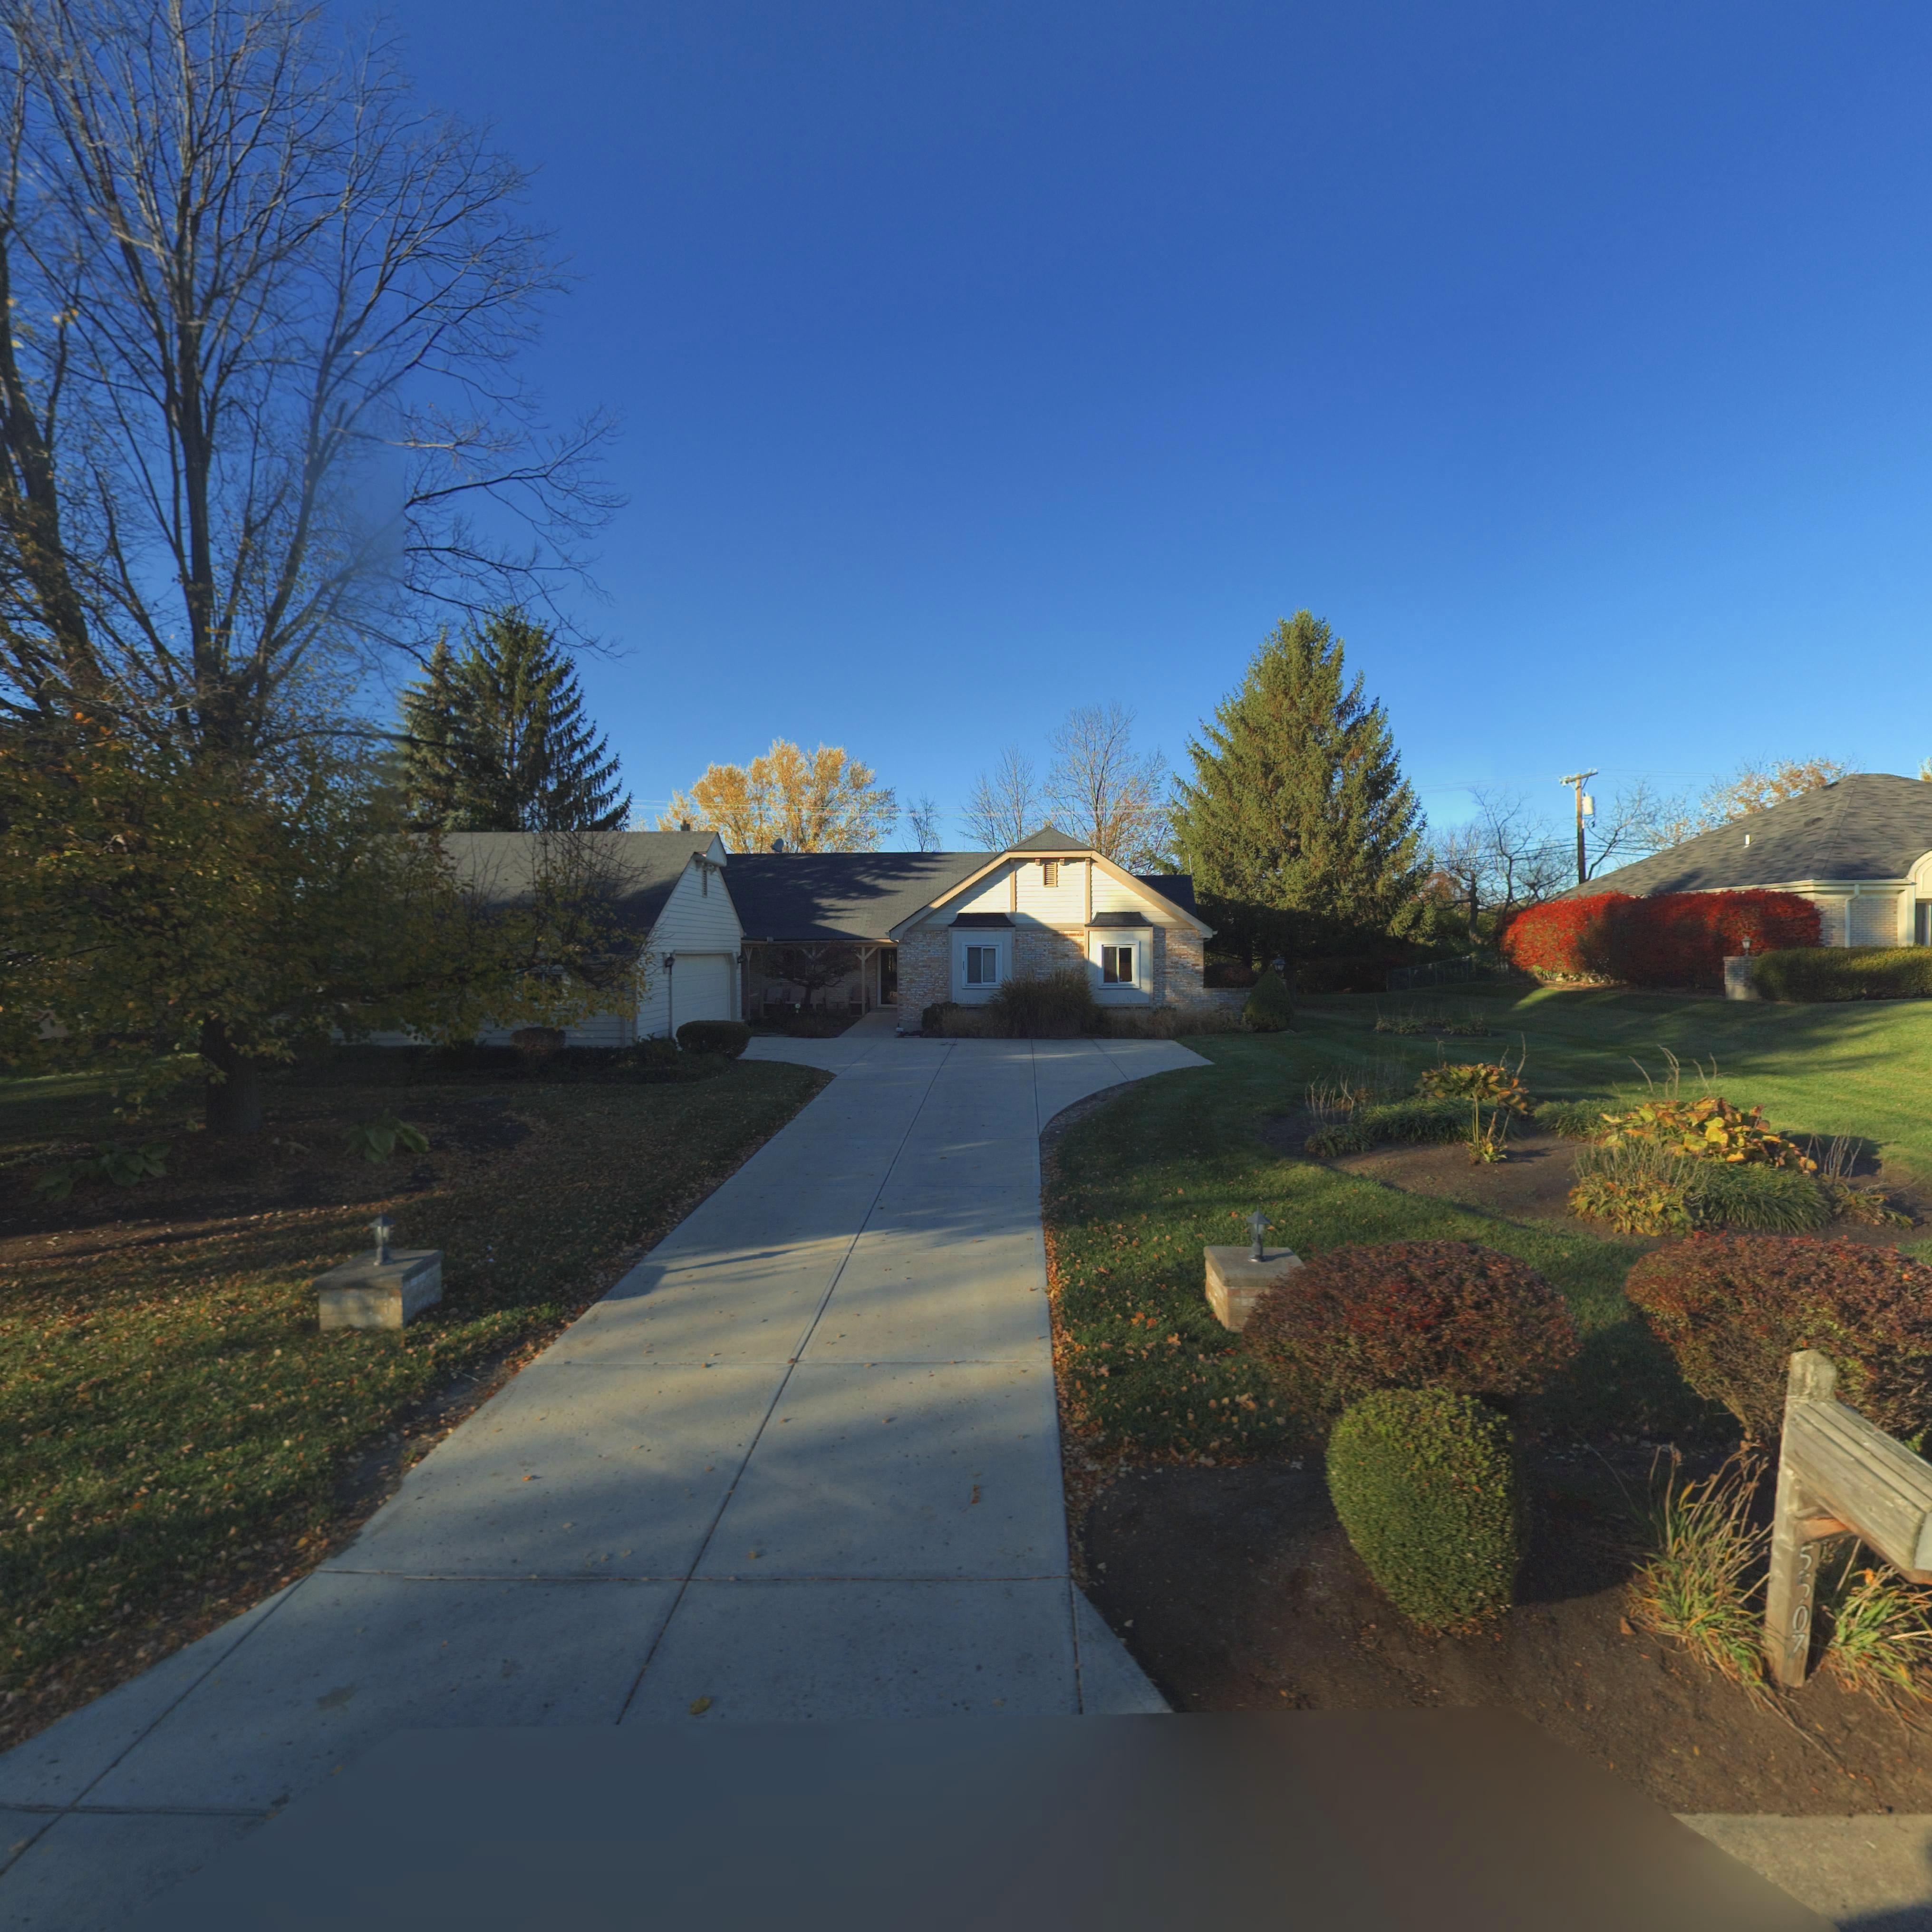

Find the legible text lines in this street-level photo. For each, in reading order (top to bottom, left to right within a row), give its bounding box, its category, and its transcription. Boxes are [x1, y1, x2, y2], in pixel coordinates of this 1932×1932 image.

[1786, 1541, 1817, 1664] StreetNumber: 5507